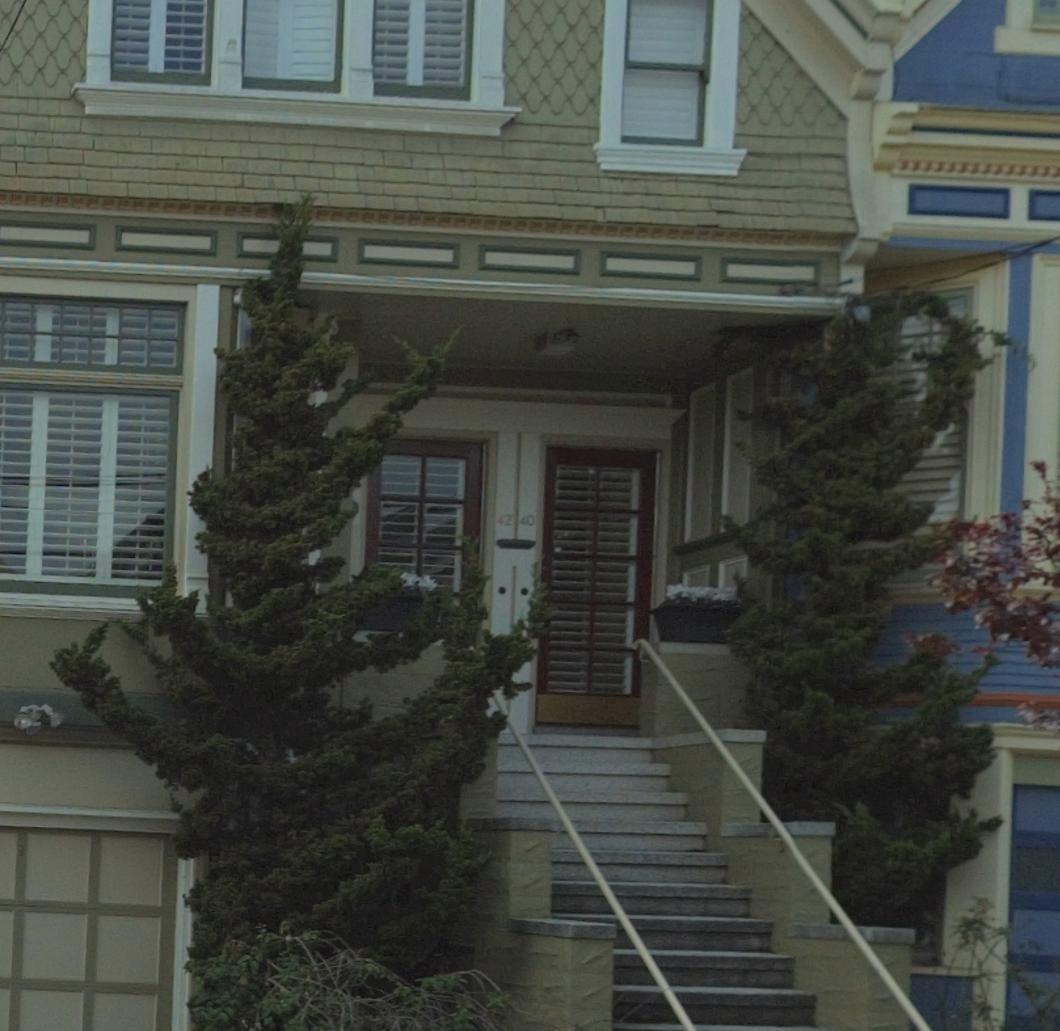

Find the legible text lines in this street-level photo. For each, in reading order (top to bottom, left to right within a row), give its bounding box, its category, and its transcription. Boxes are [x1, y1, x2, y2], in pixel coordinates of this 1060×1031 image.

[495, 513, 513, 526] StreetNumber: 40
[518, 513, 535, 526] StreetNumber: 40